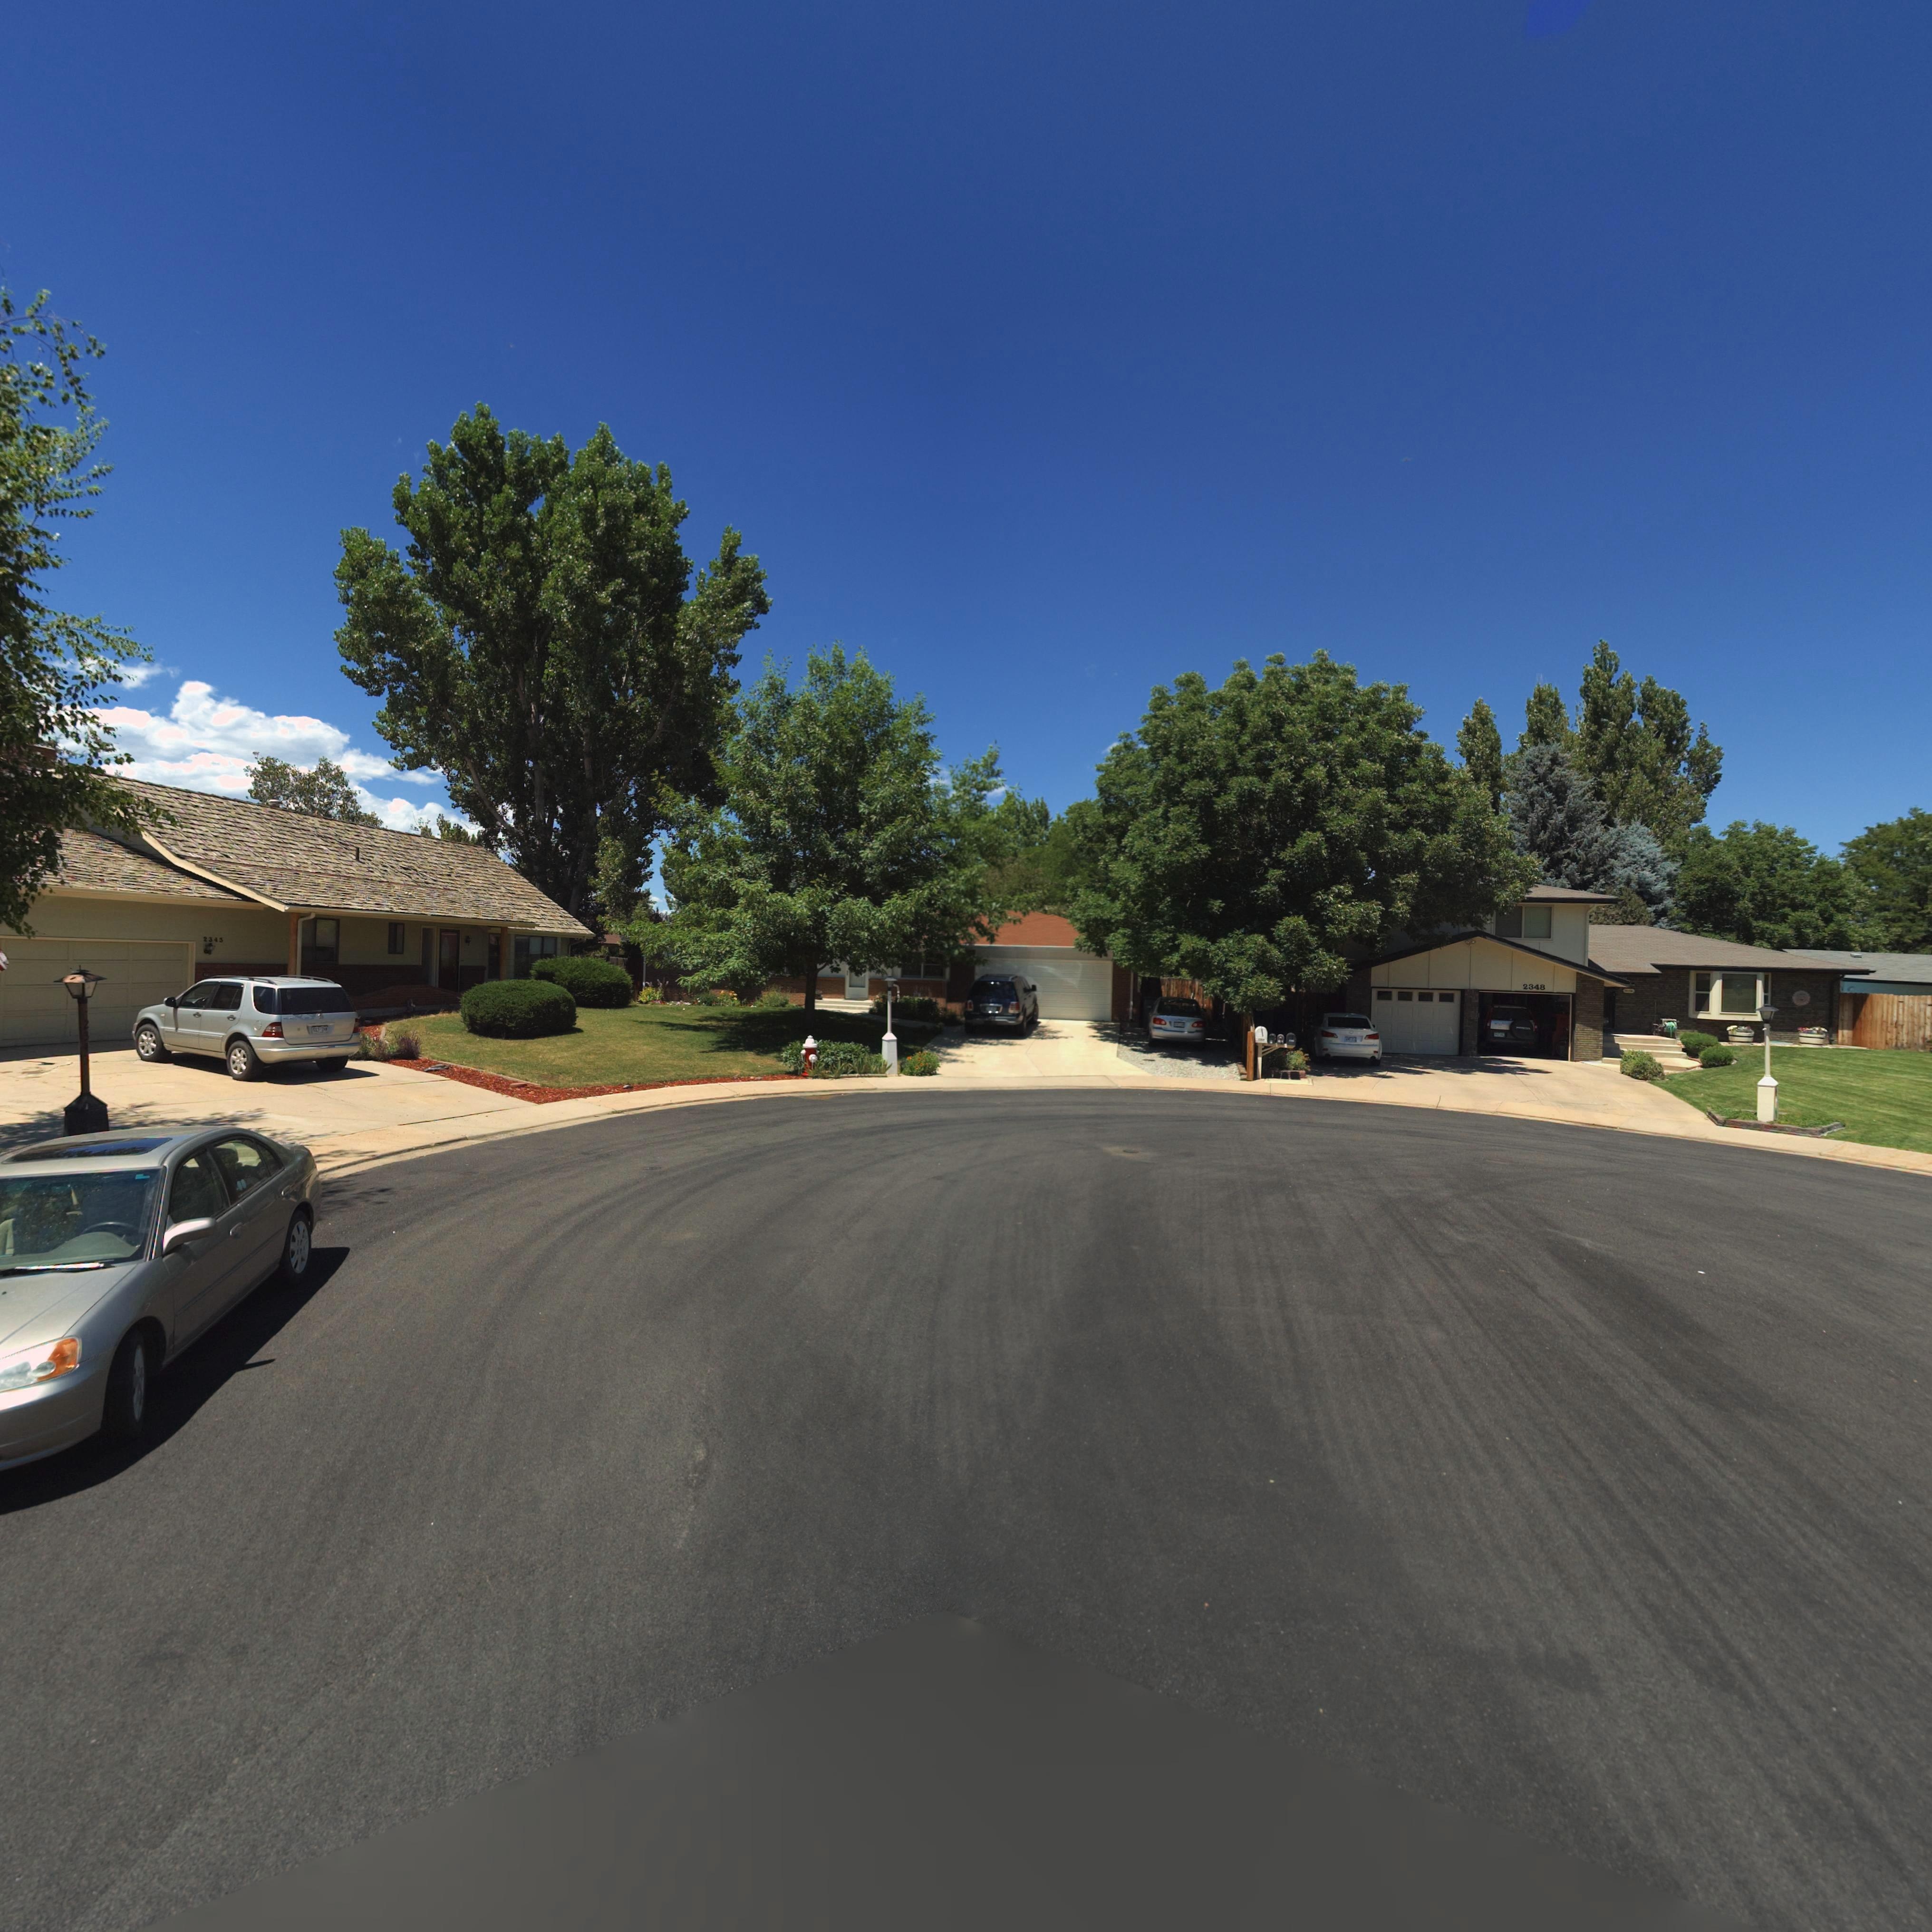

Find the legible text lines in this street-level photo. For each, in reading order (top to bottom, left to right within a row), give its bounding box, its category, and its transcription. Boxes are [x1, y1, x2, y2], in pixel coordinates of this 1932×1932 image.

[203, 936, 223, 943] StreetNumber: 2343
[1522, 983, 1546, 990] StreetNumber: 2348